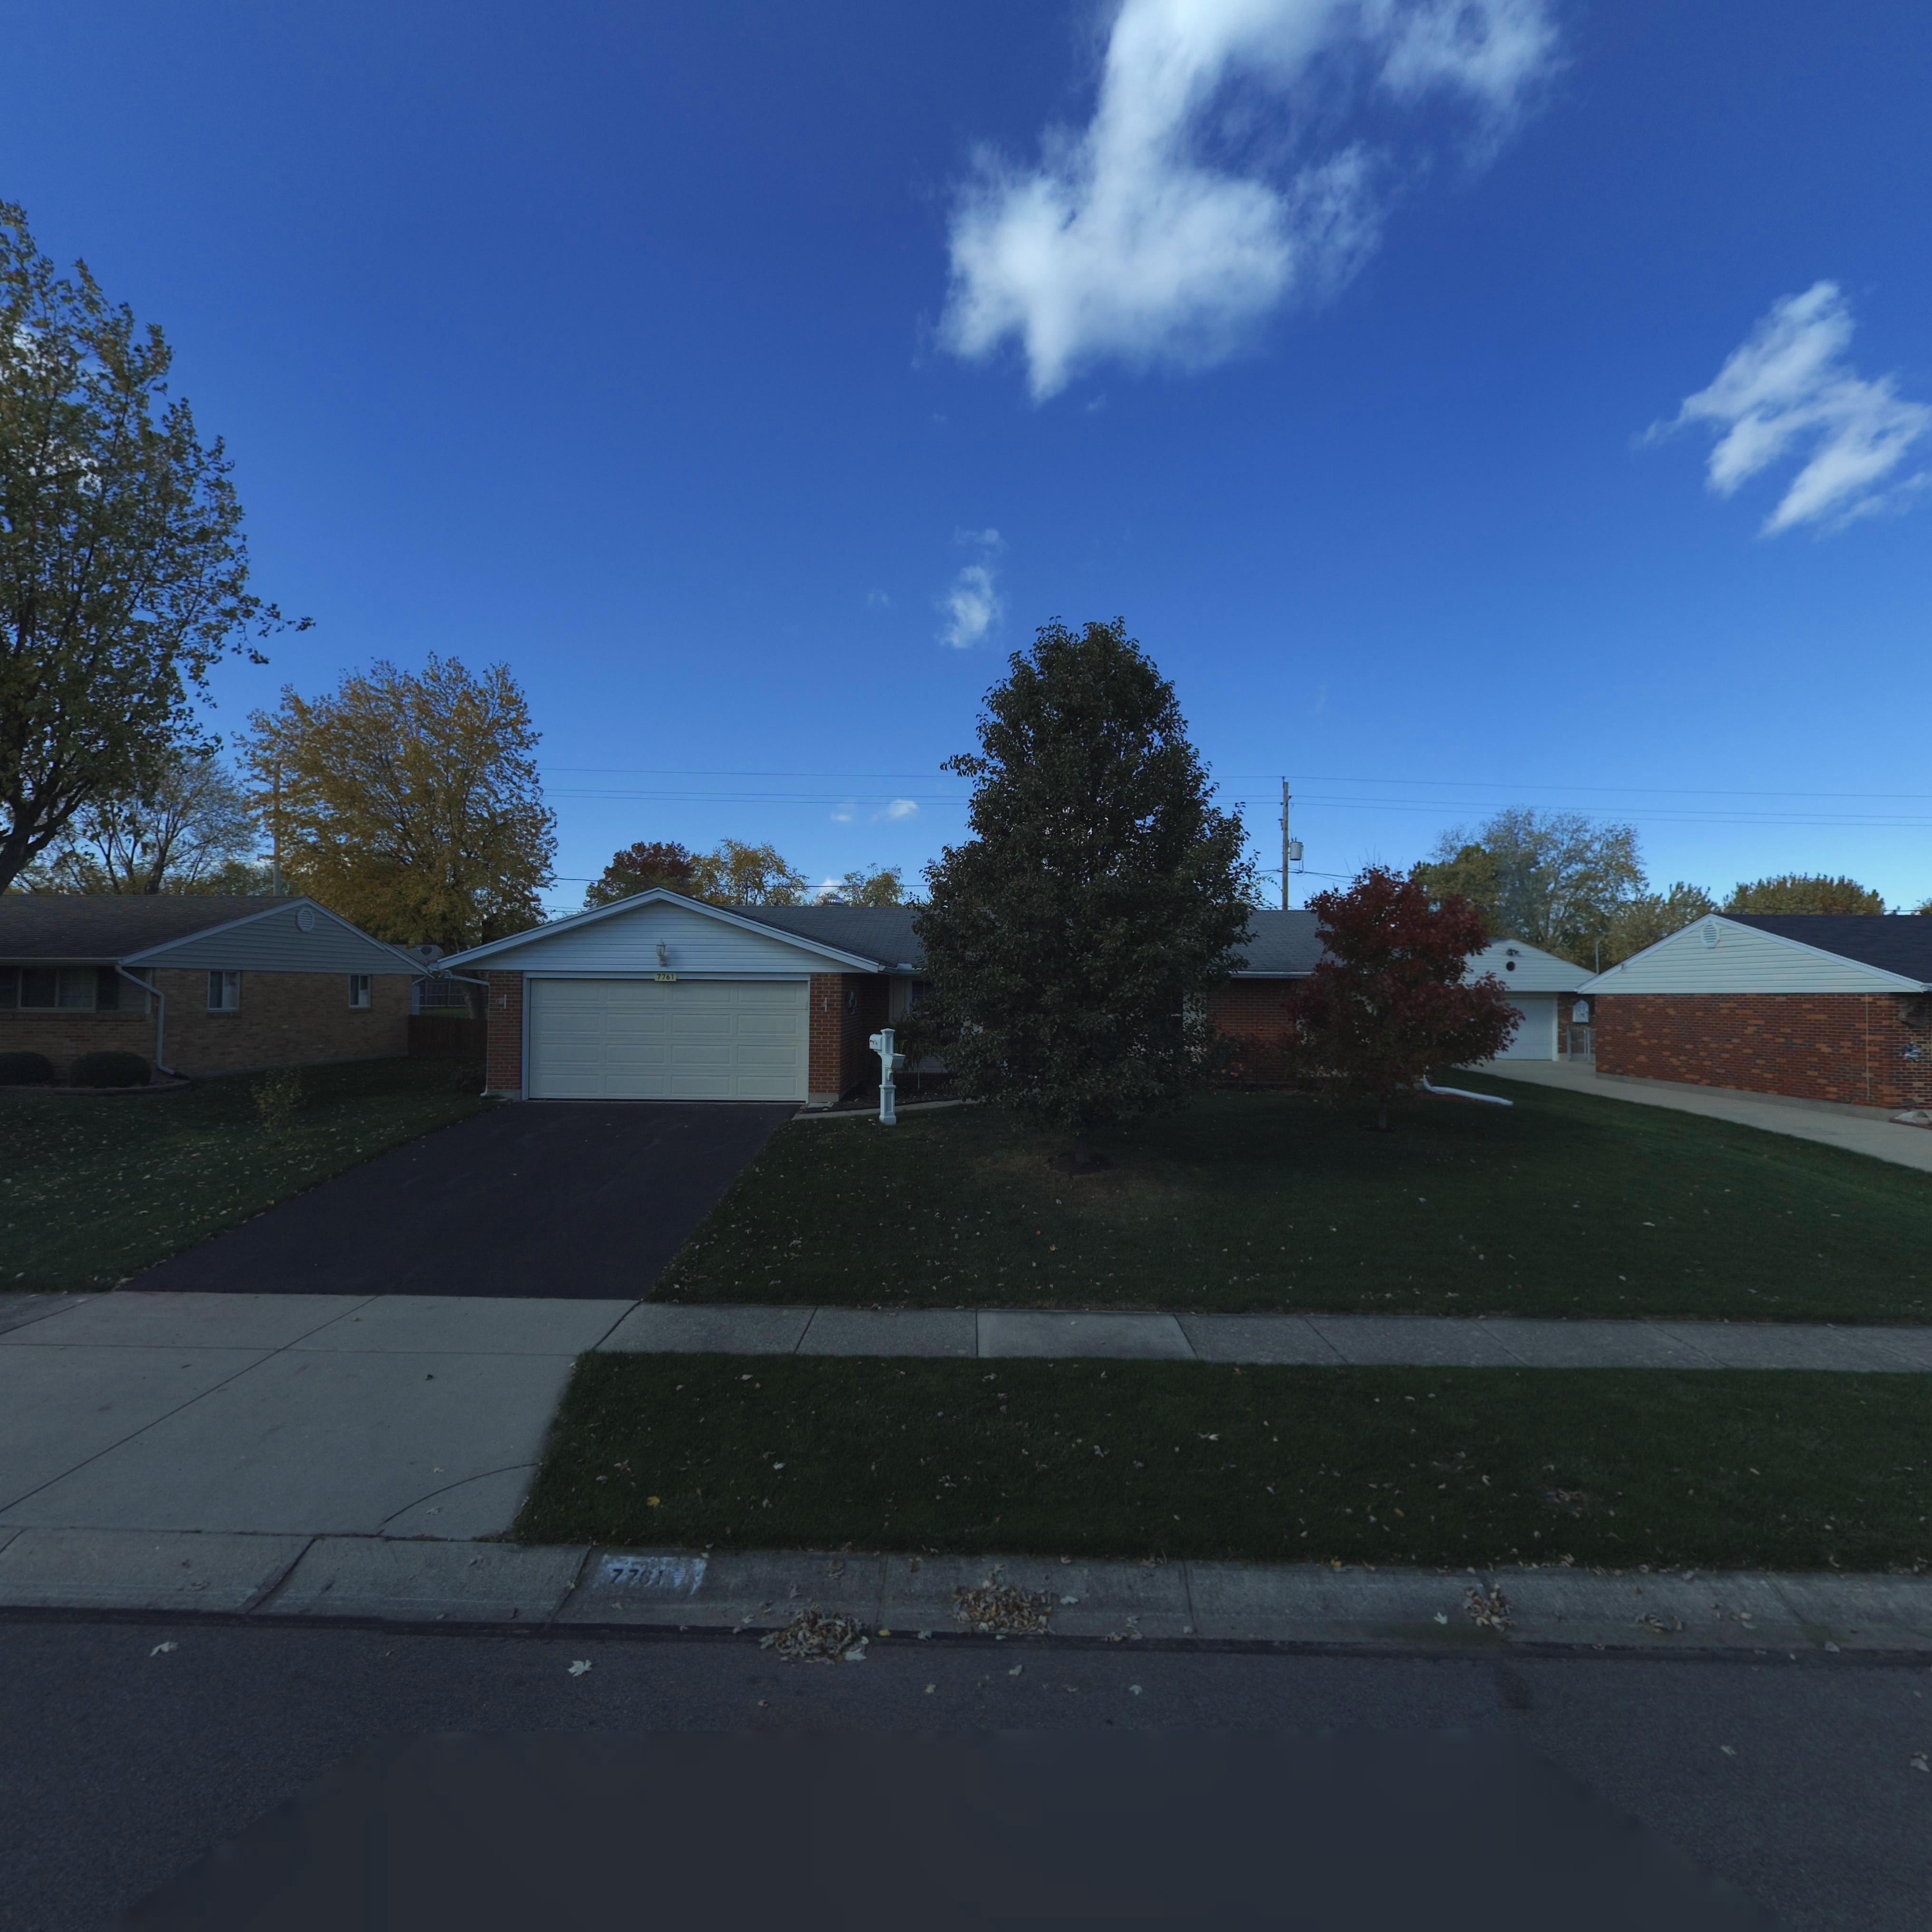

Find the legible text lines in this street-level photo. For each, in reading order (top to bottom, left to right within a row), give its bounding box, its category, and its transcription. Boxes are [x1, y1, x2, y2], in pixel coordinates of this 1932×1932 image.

[656, 972, 675, 981] StreetNumber: 7761
[607, 1566, 666, 1587] StreetNumber: 7*61